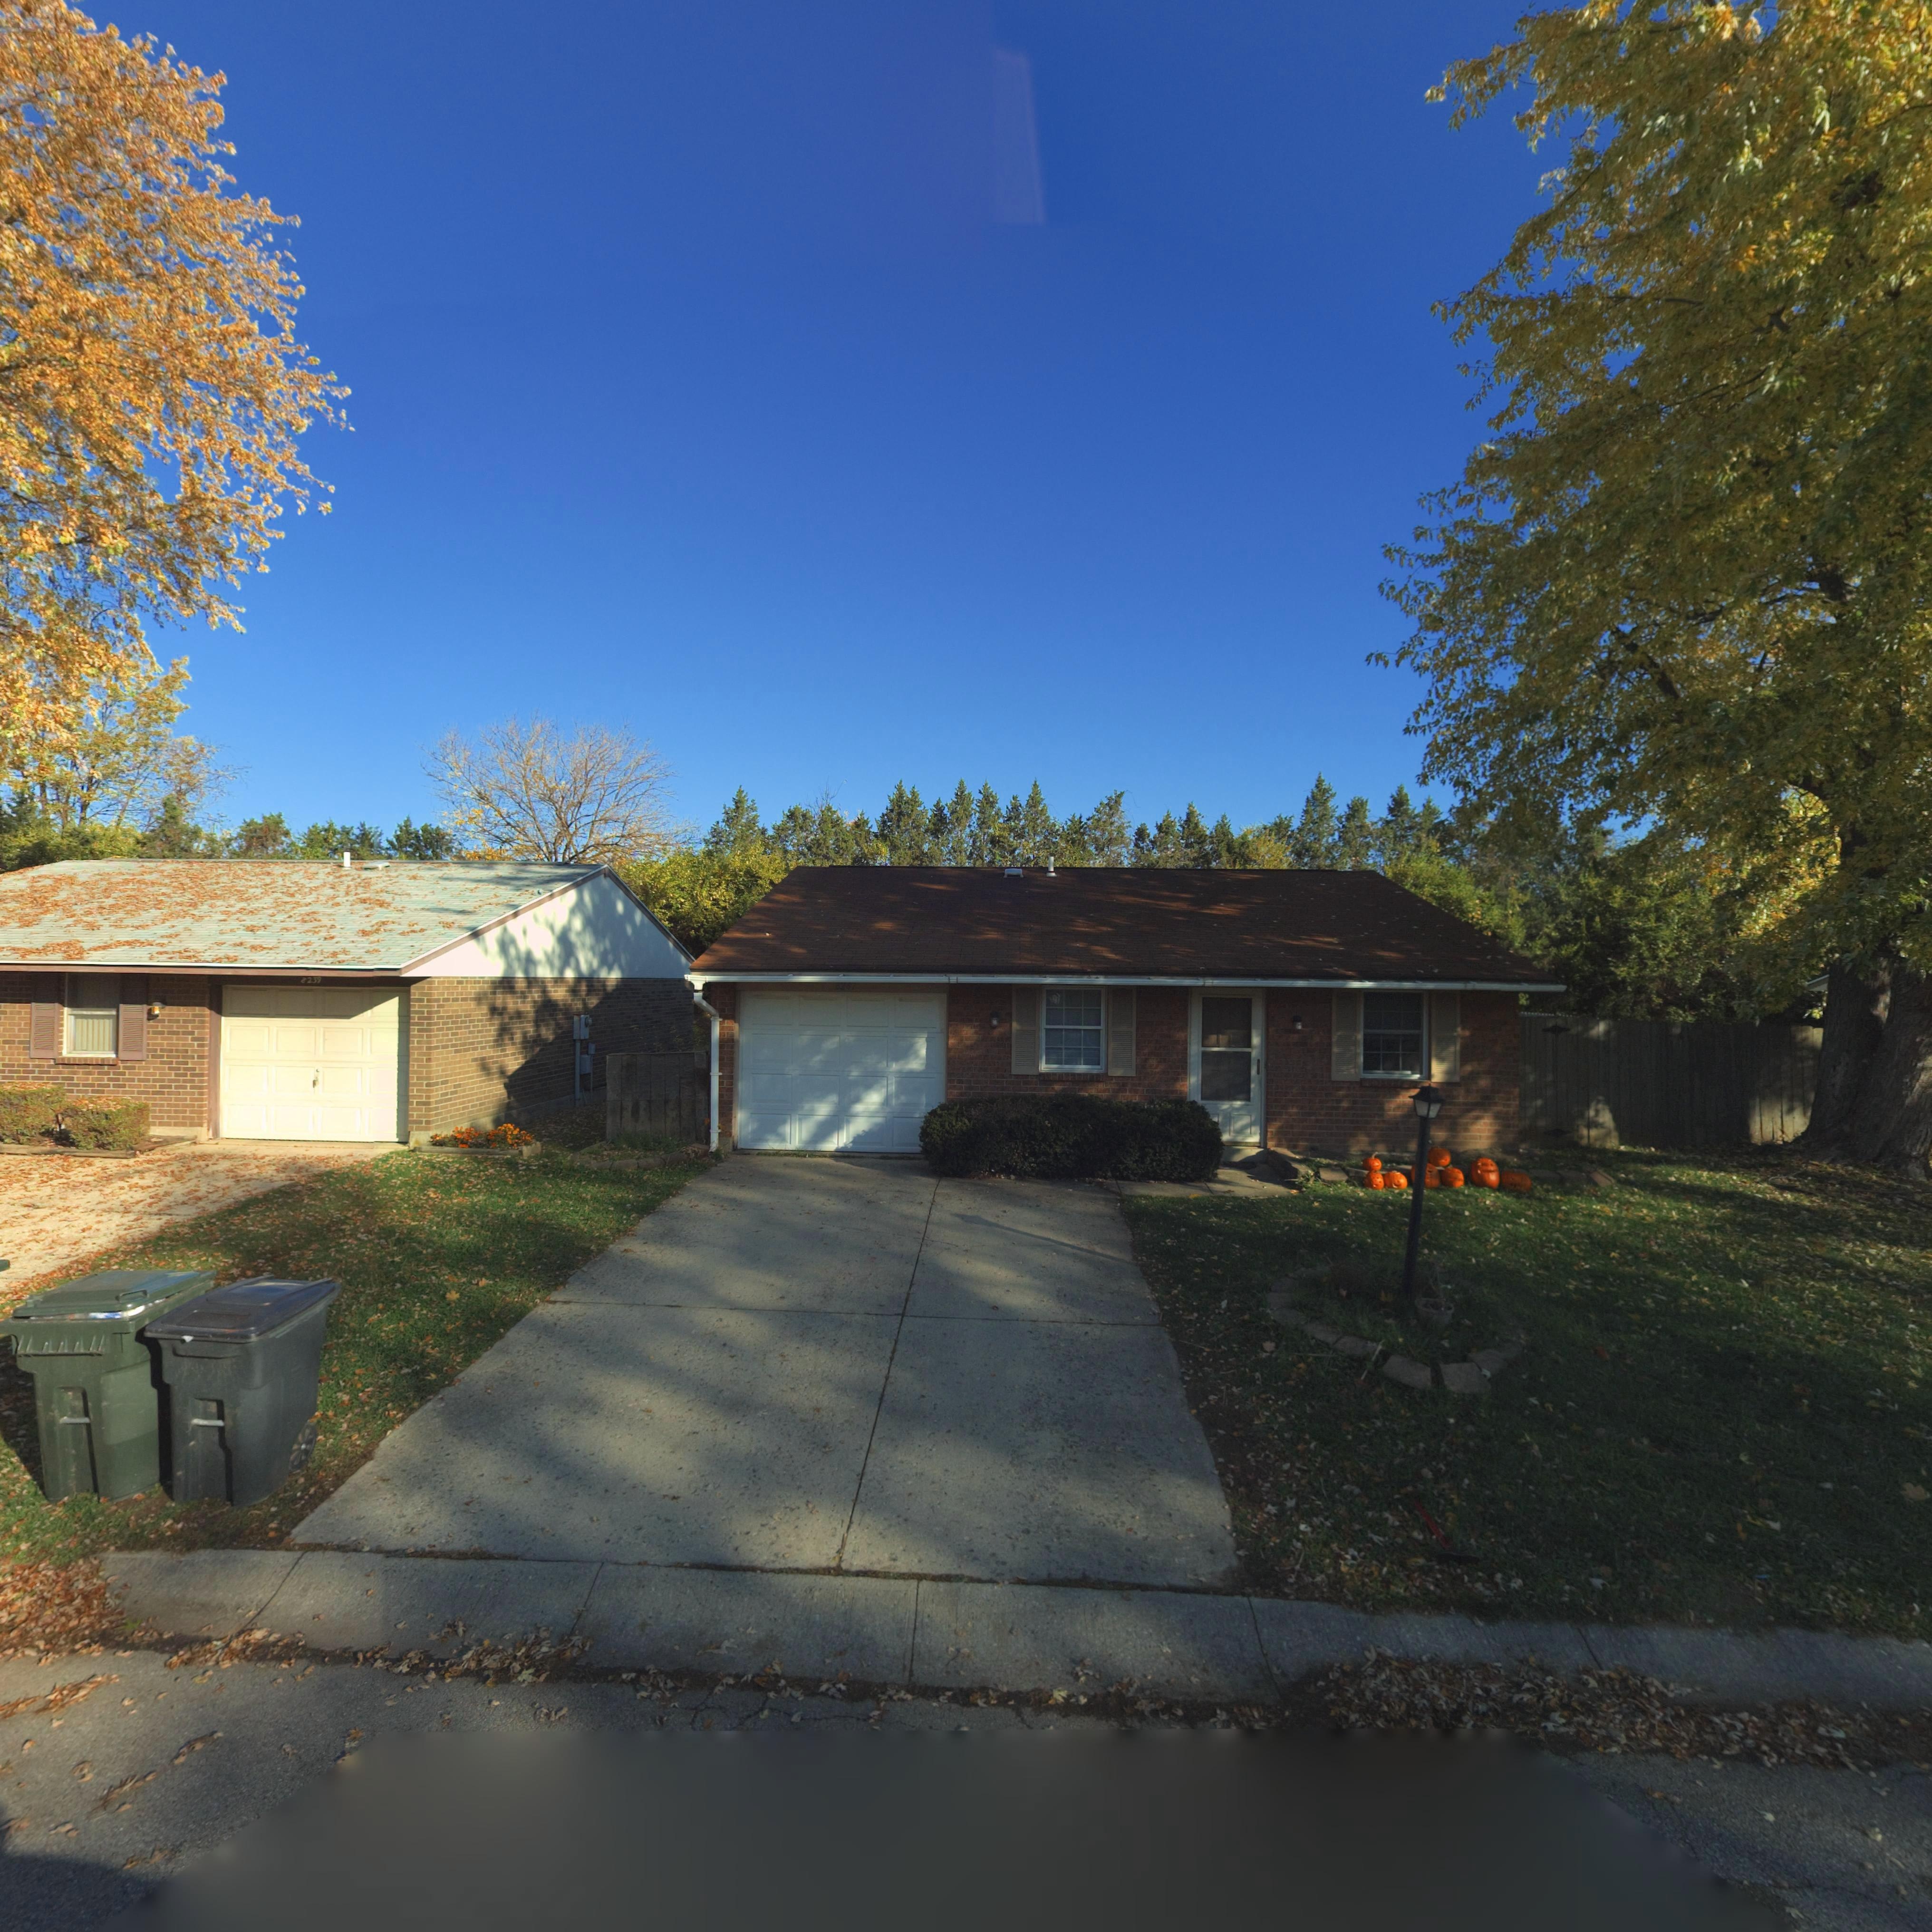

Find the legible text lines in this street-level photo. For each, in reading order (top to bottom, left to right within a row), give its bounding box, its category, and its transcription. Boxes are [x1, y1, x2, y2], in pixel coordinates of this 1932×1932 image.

[299, 976, 322, 985] StreetNumber: 8239
[834, 982, 857, 991] StreetNumber: 8247